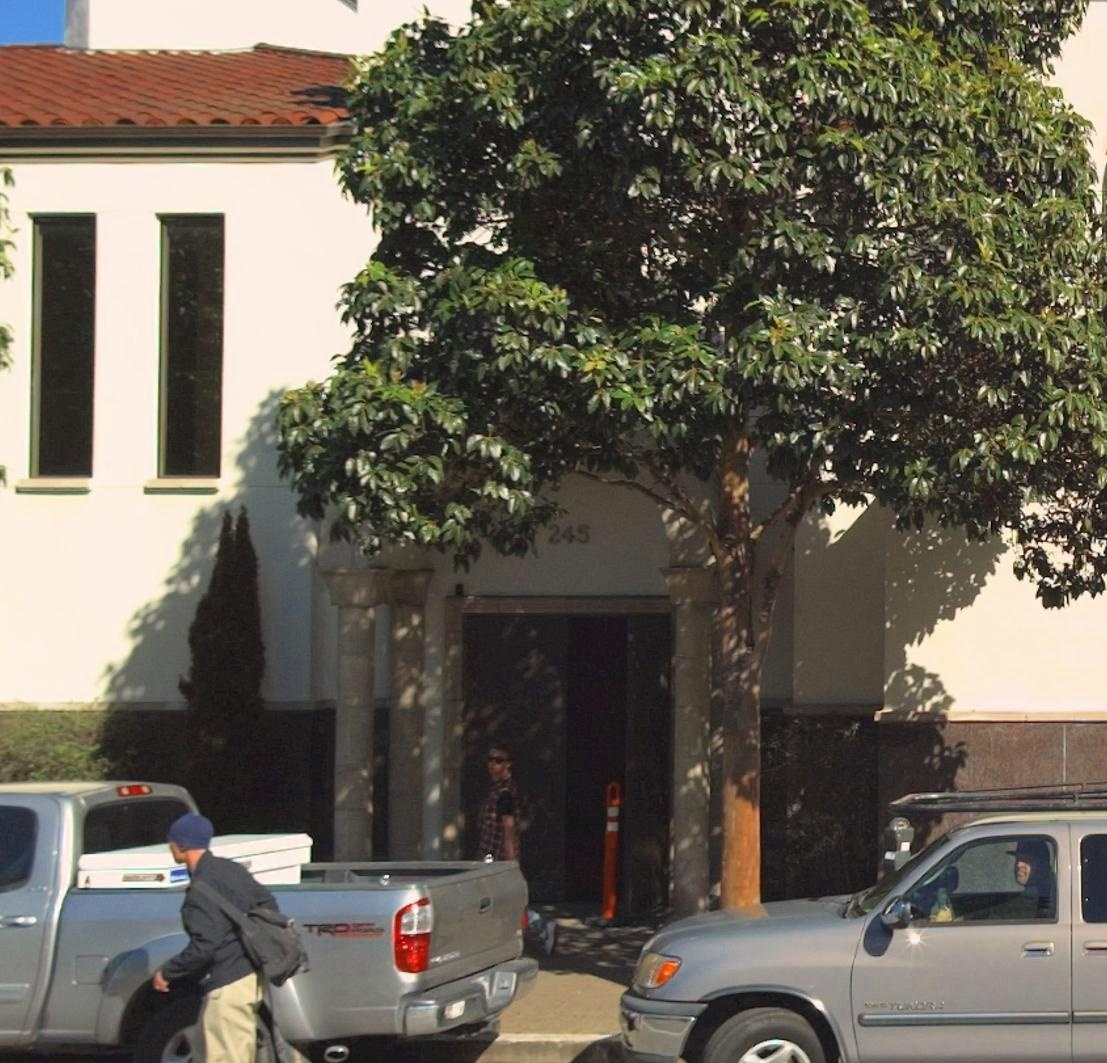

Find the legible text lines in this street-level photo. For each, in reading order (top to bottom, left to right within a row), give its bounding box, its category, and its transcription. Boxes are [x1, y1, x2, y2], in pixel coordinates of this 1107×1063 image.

[546, 523, 592, 545] StreetNumber: 245
[300, 922, 351, 938] None: TRD
[886, 1000, 946, 1013] None: TUNDRA